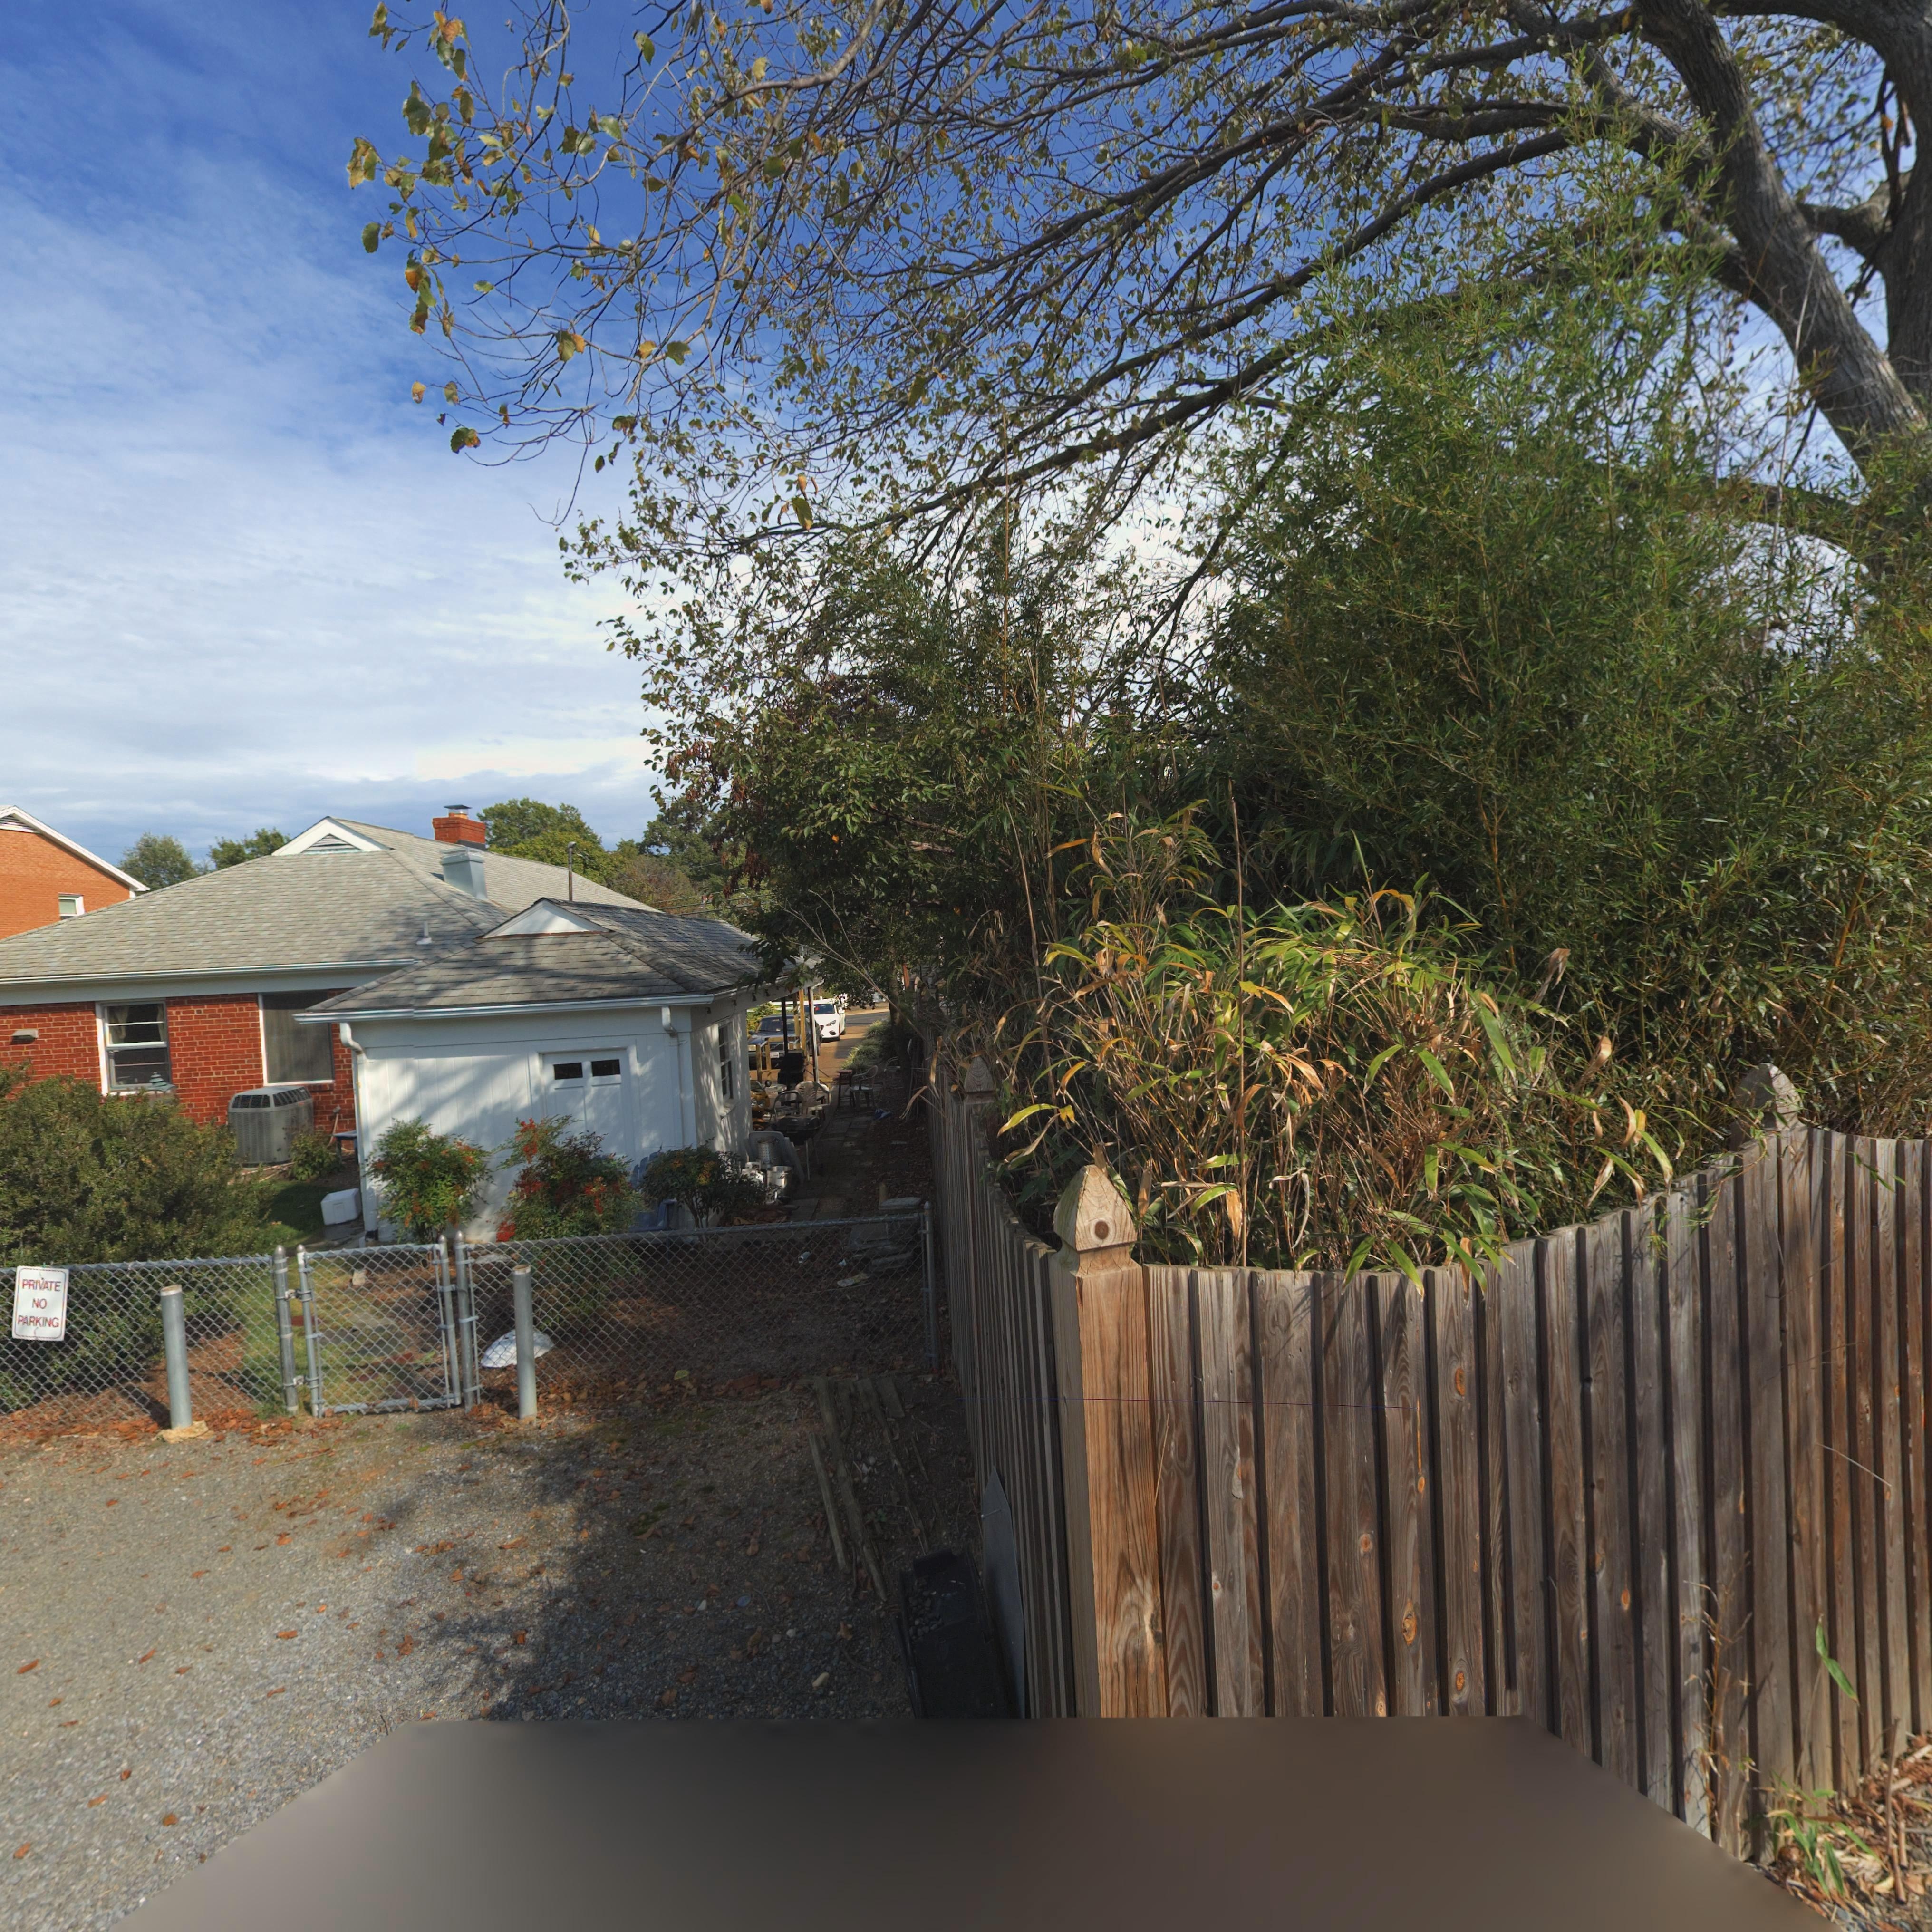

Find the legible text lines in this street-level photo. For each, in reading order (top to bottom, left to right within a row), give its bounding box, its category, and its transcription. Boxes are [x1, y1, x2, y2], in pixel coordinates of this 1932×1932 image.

[20, 1277, 63, 1293] None: PRIVATE
[30, 1296, 48, 1310] None: NO
[16, 1314, 61, 1329] None: PARKING